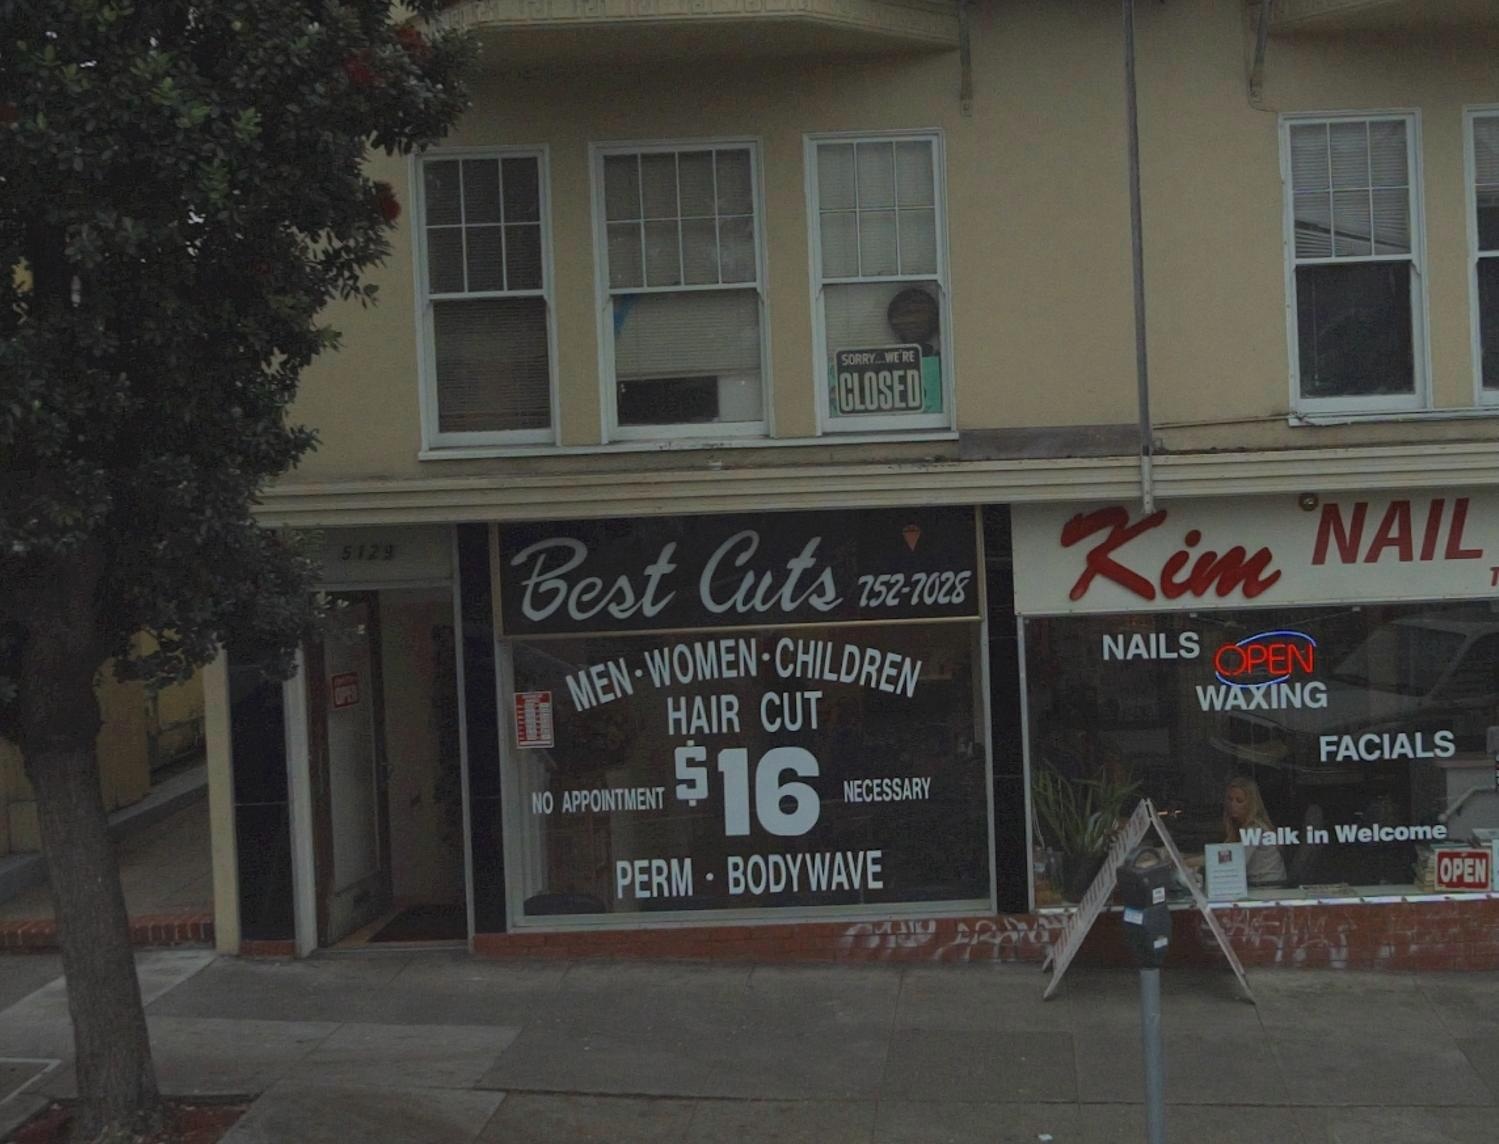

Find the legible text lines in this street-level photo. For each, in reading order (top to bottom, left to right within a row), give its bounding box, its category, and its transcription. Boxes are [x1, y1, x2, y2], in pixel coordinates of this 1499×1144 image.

[839, 346, 918, 369] None: SORRY...WE'RE
[837, 366, 924, 415] None: CLOSED
[337, 542, 396, 564] StreetNumber: 5129
[1058, 492, 1488, 608] BusinessName: Kim NAIL
[504, 523, 849, 627] BusinessName: Best Cut's
[855, 567, 976, 611] None: 752-7028
[560, 633, 927, 716] None: MEN*WOMEN*CHILDREN
[1100, 628, 1203, 663] None: NAILS
[1209, 641, 1316, 680] None: OPEN
[332, 681, 360, 707] None: OP**
[665, 687, 825, 738] None: HAIR CUT
[1190, 678, 1331, 714] None: WAXING
[1317, 727, 1459, 764] None: FACIALS
[529, 783, 667, 817] None: NO APPOINTMENT
[714, 740, 825, 839] None: 16
[841, 773, 934, 806] None: NECESSARY
[1235, 821, 1451, 849] None: Walk in Welcome
[612, 845, 887, 903] None: PERM * BODYWAVE
[1437, 855, 1490, 886] None: OPEN